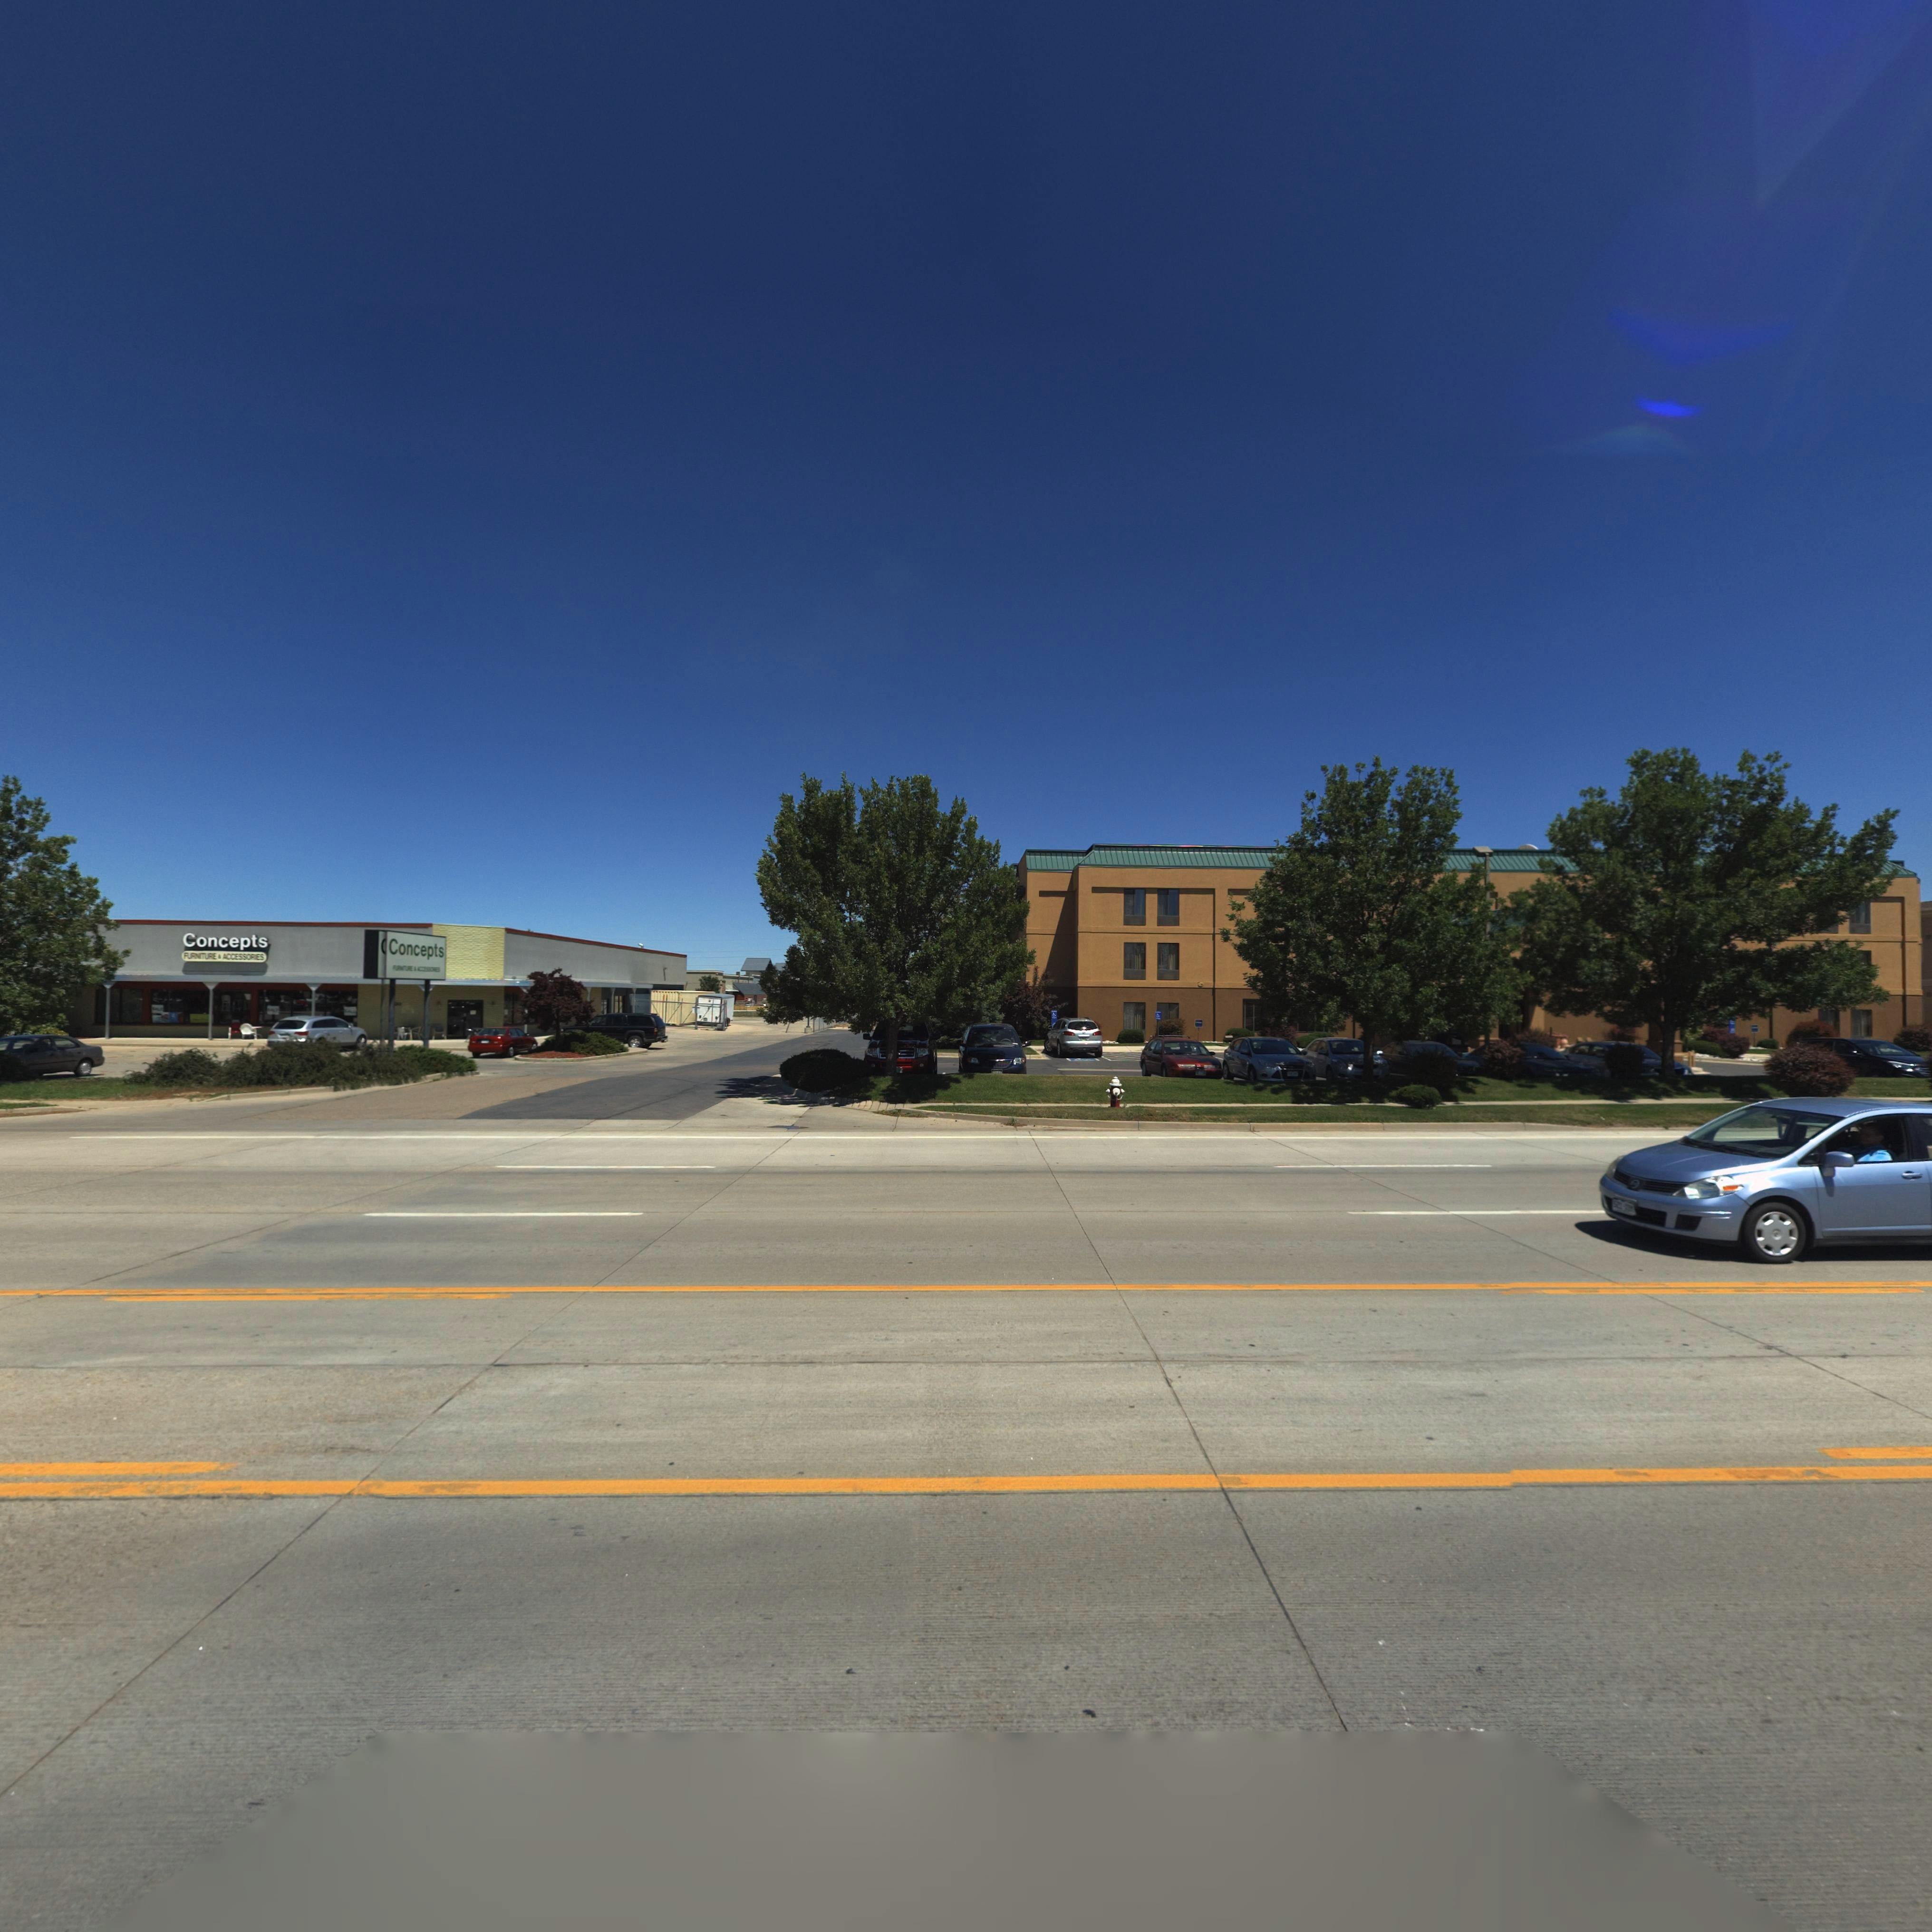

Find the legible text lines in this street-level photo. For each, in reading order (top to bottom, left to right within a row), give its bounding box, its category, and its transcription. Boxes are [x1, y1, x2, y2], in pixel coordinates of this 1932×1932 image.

[184, 952, 264, 960] BusinessName: FURNITURE * ACCESSORIES
[182, 932, 268, 950] BusinessName: Concepts
[388, 938, 444, 960] BusinessName: Concepts
[392, 965, 440, 972] BusinessName: FURN*URE * *CCESS*RIES